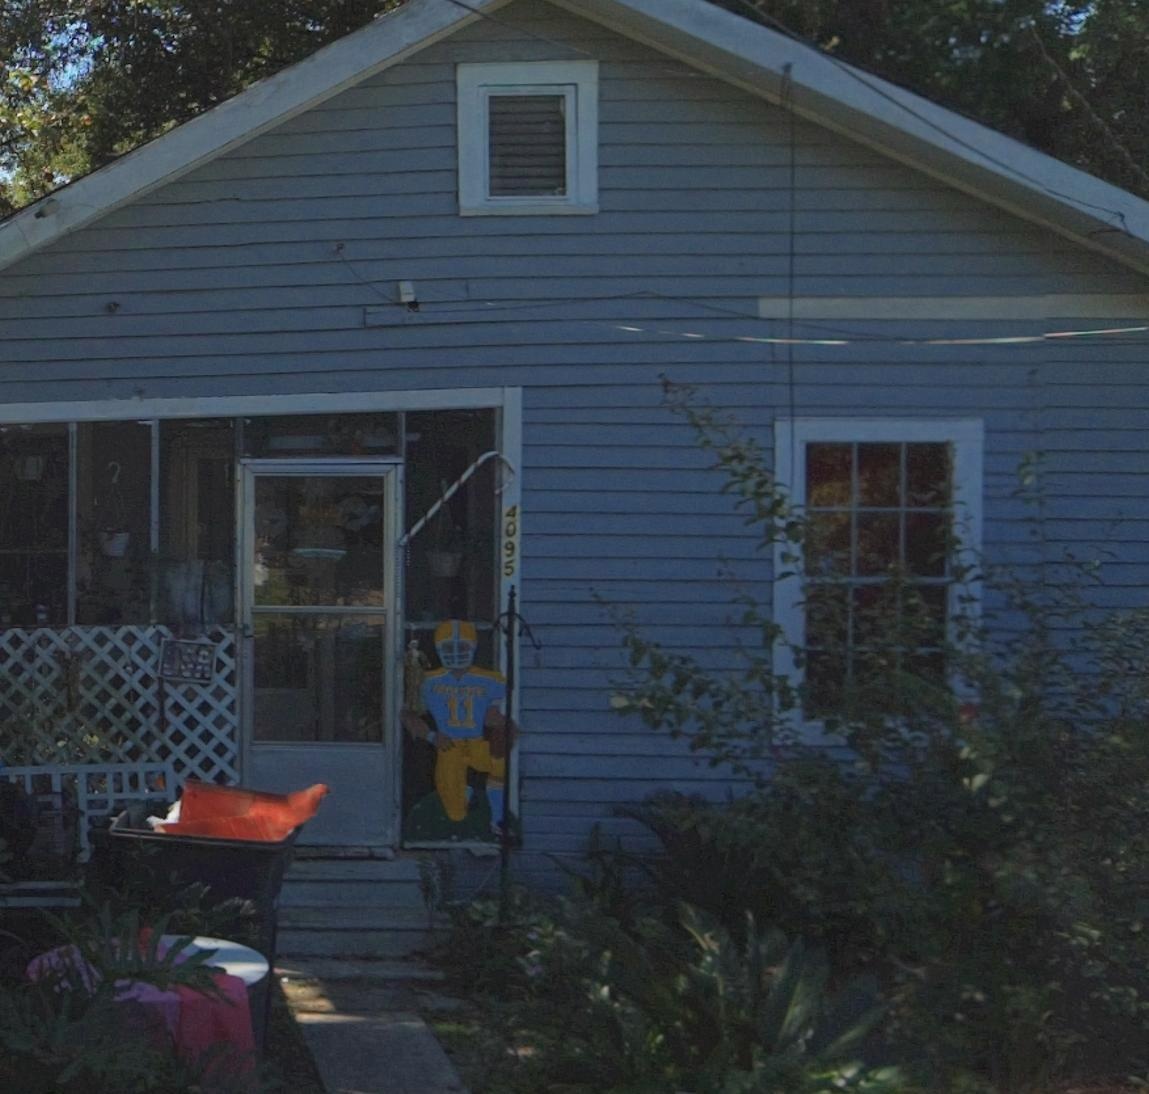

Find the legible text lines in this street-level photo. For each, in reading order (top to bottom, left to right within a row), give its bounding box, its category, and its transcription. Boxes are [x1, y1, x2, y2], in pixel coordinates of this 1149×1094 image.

[503, 502, 518, 578] StreetNumber: 4095
[444, 694, 477, 729] None: 11